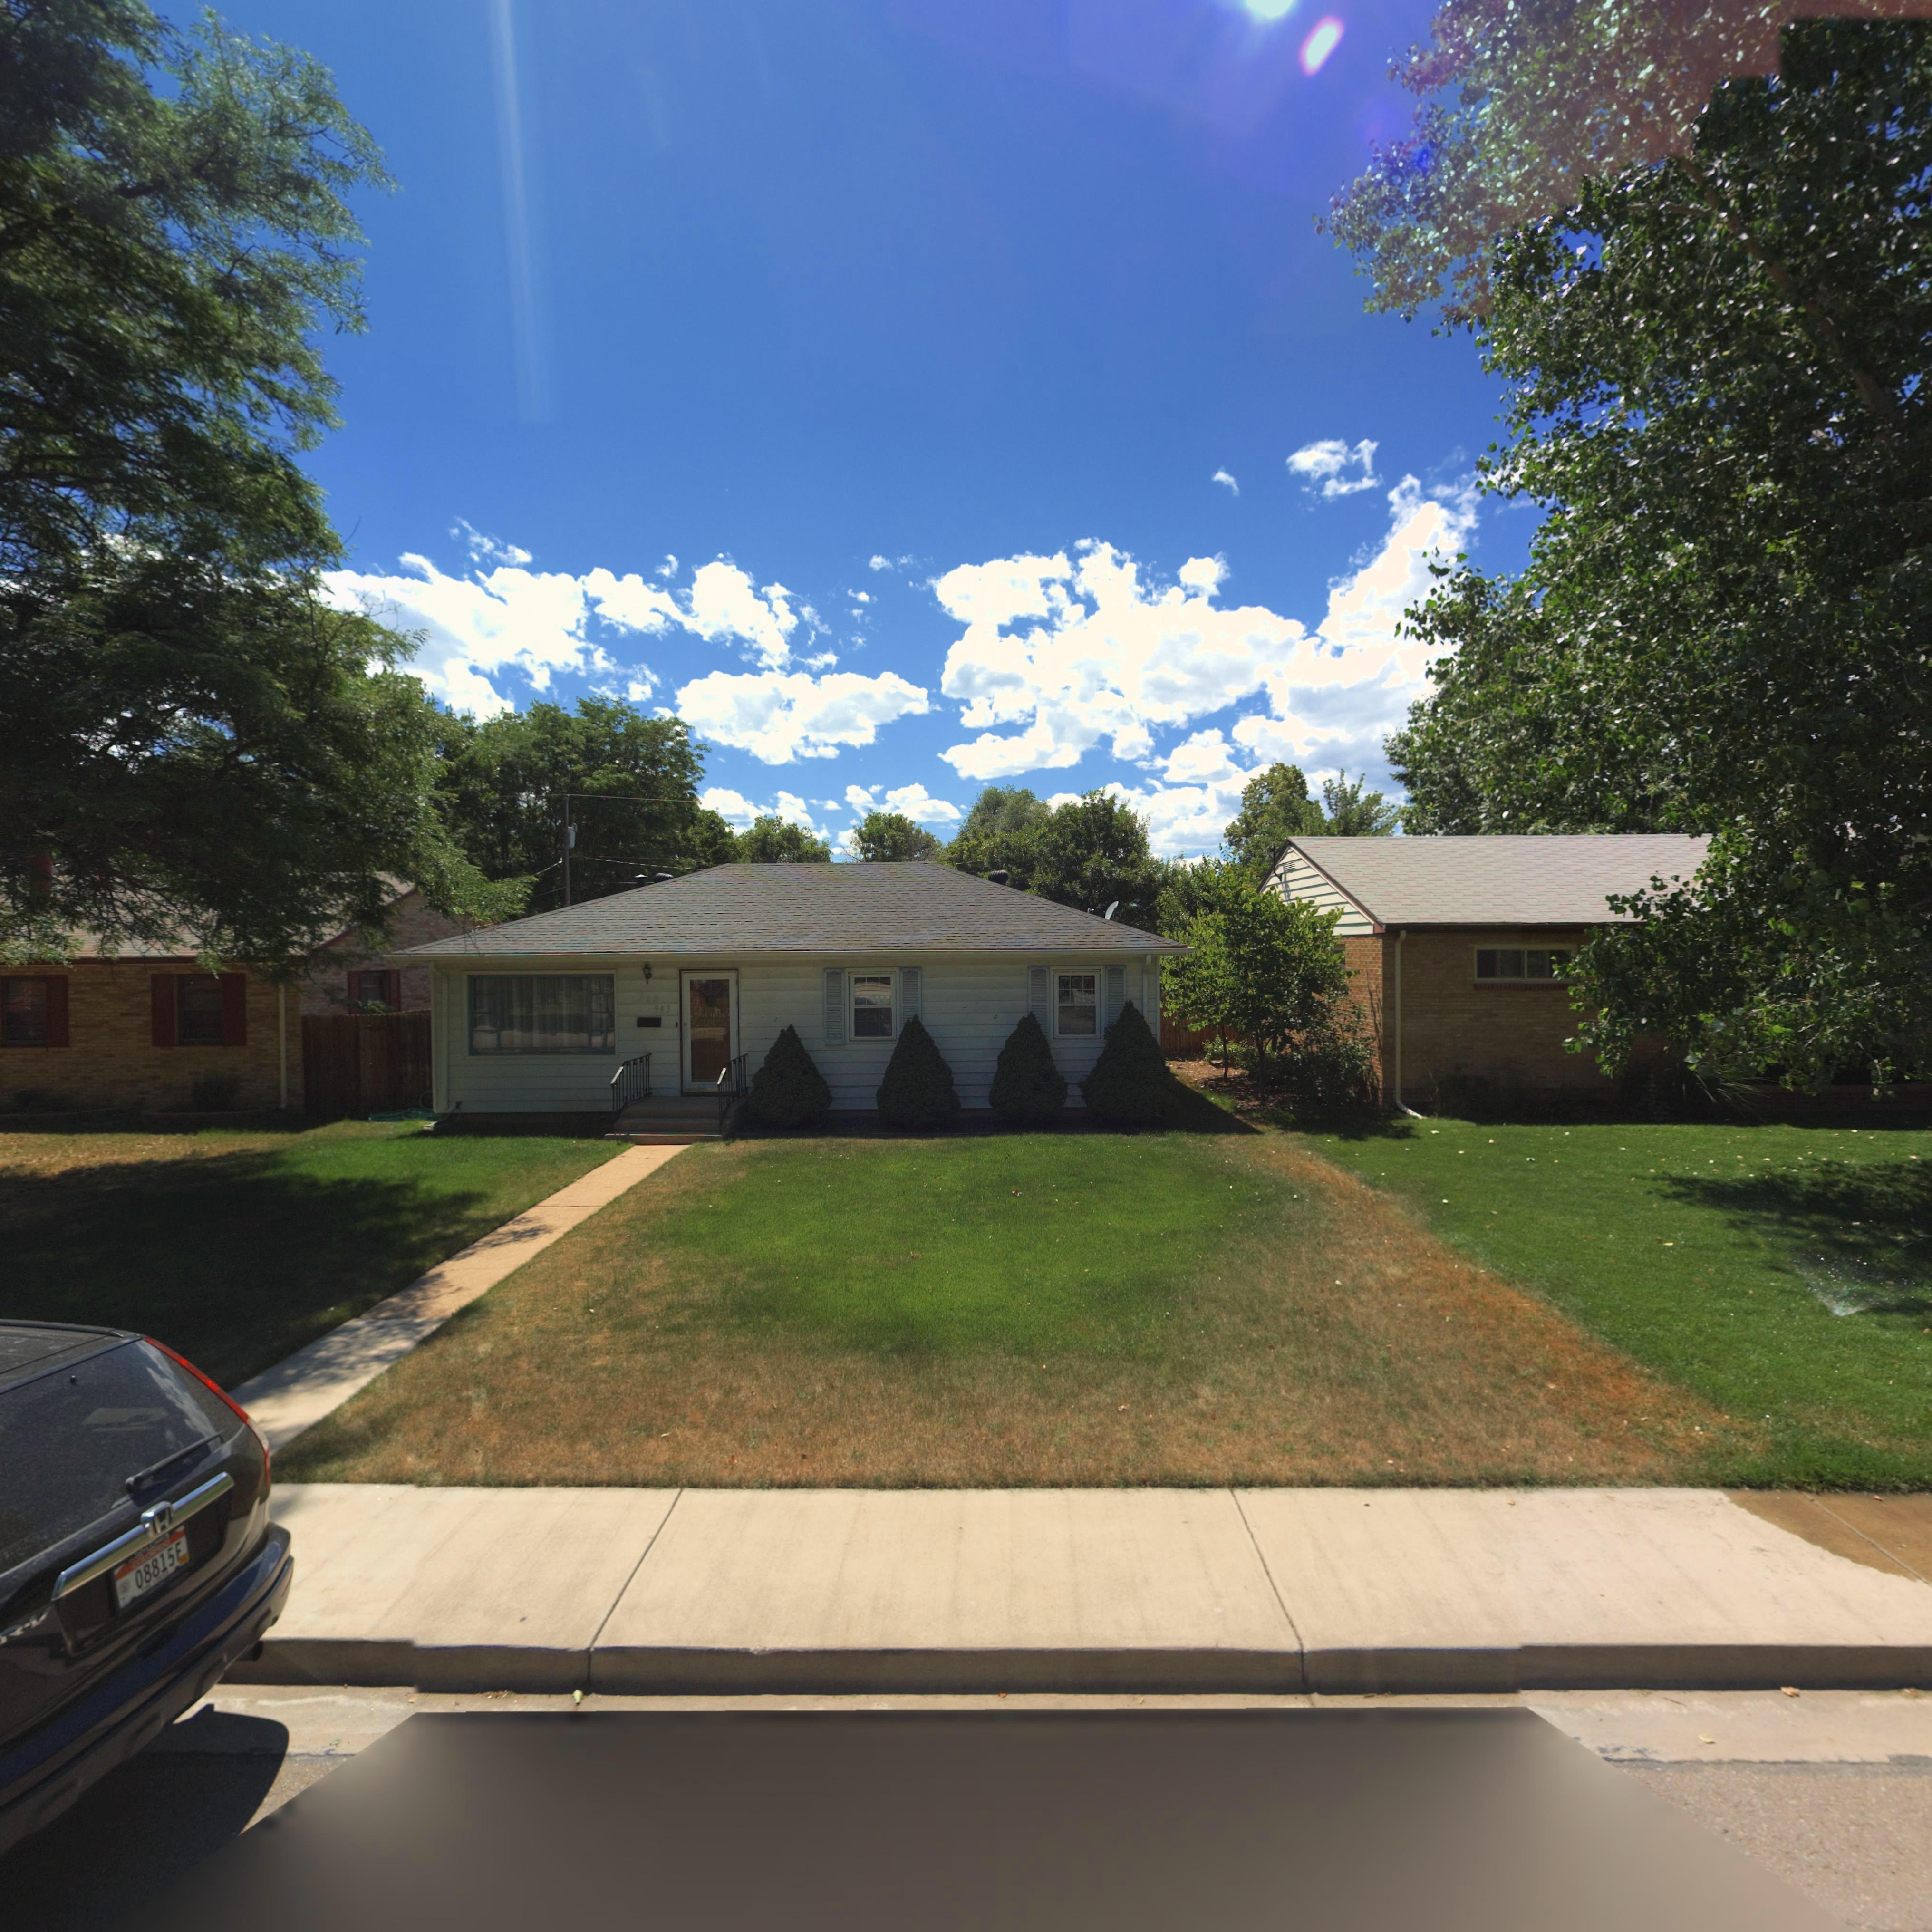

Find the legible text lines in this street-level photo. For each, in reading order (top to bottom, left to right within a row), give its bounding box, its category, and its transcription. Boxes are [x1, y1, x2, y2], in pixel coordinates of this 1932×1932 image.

[654, 1005, 670, 1012] StreetNumber: 943